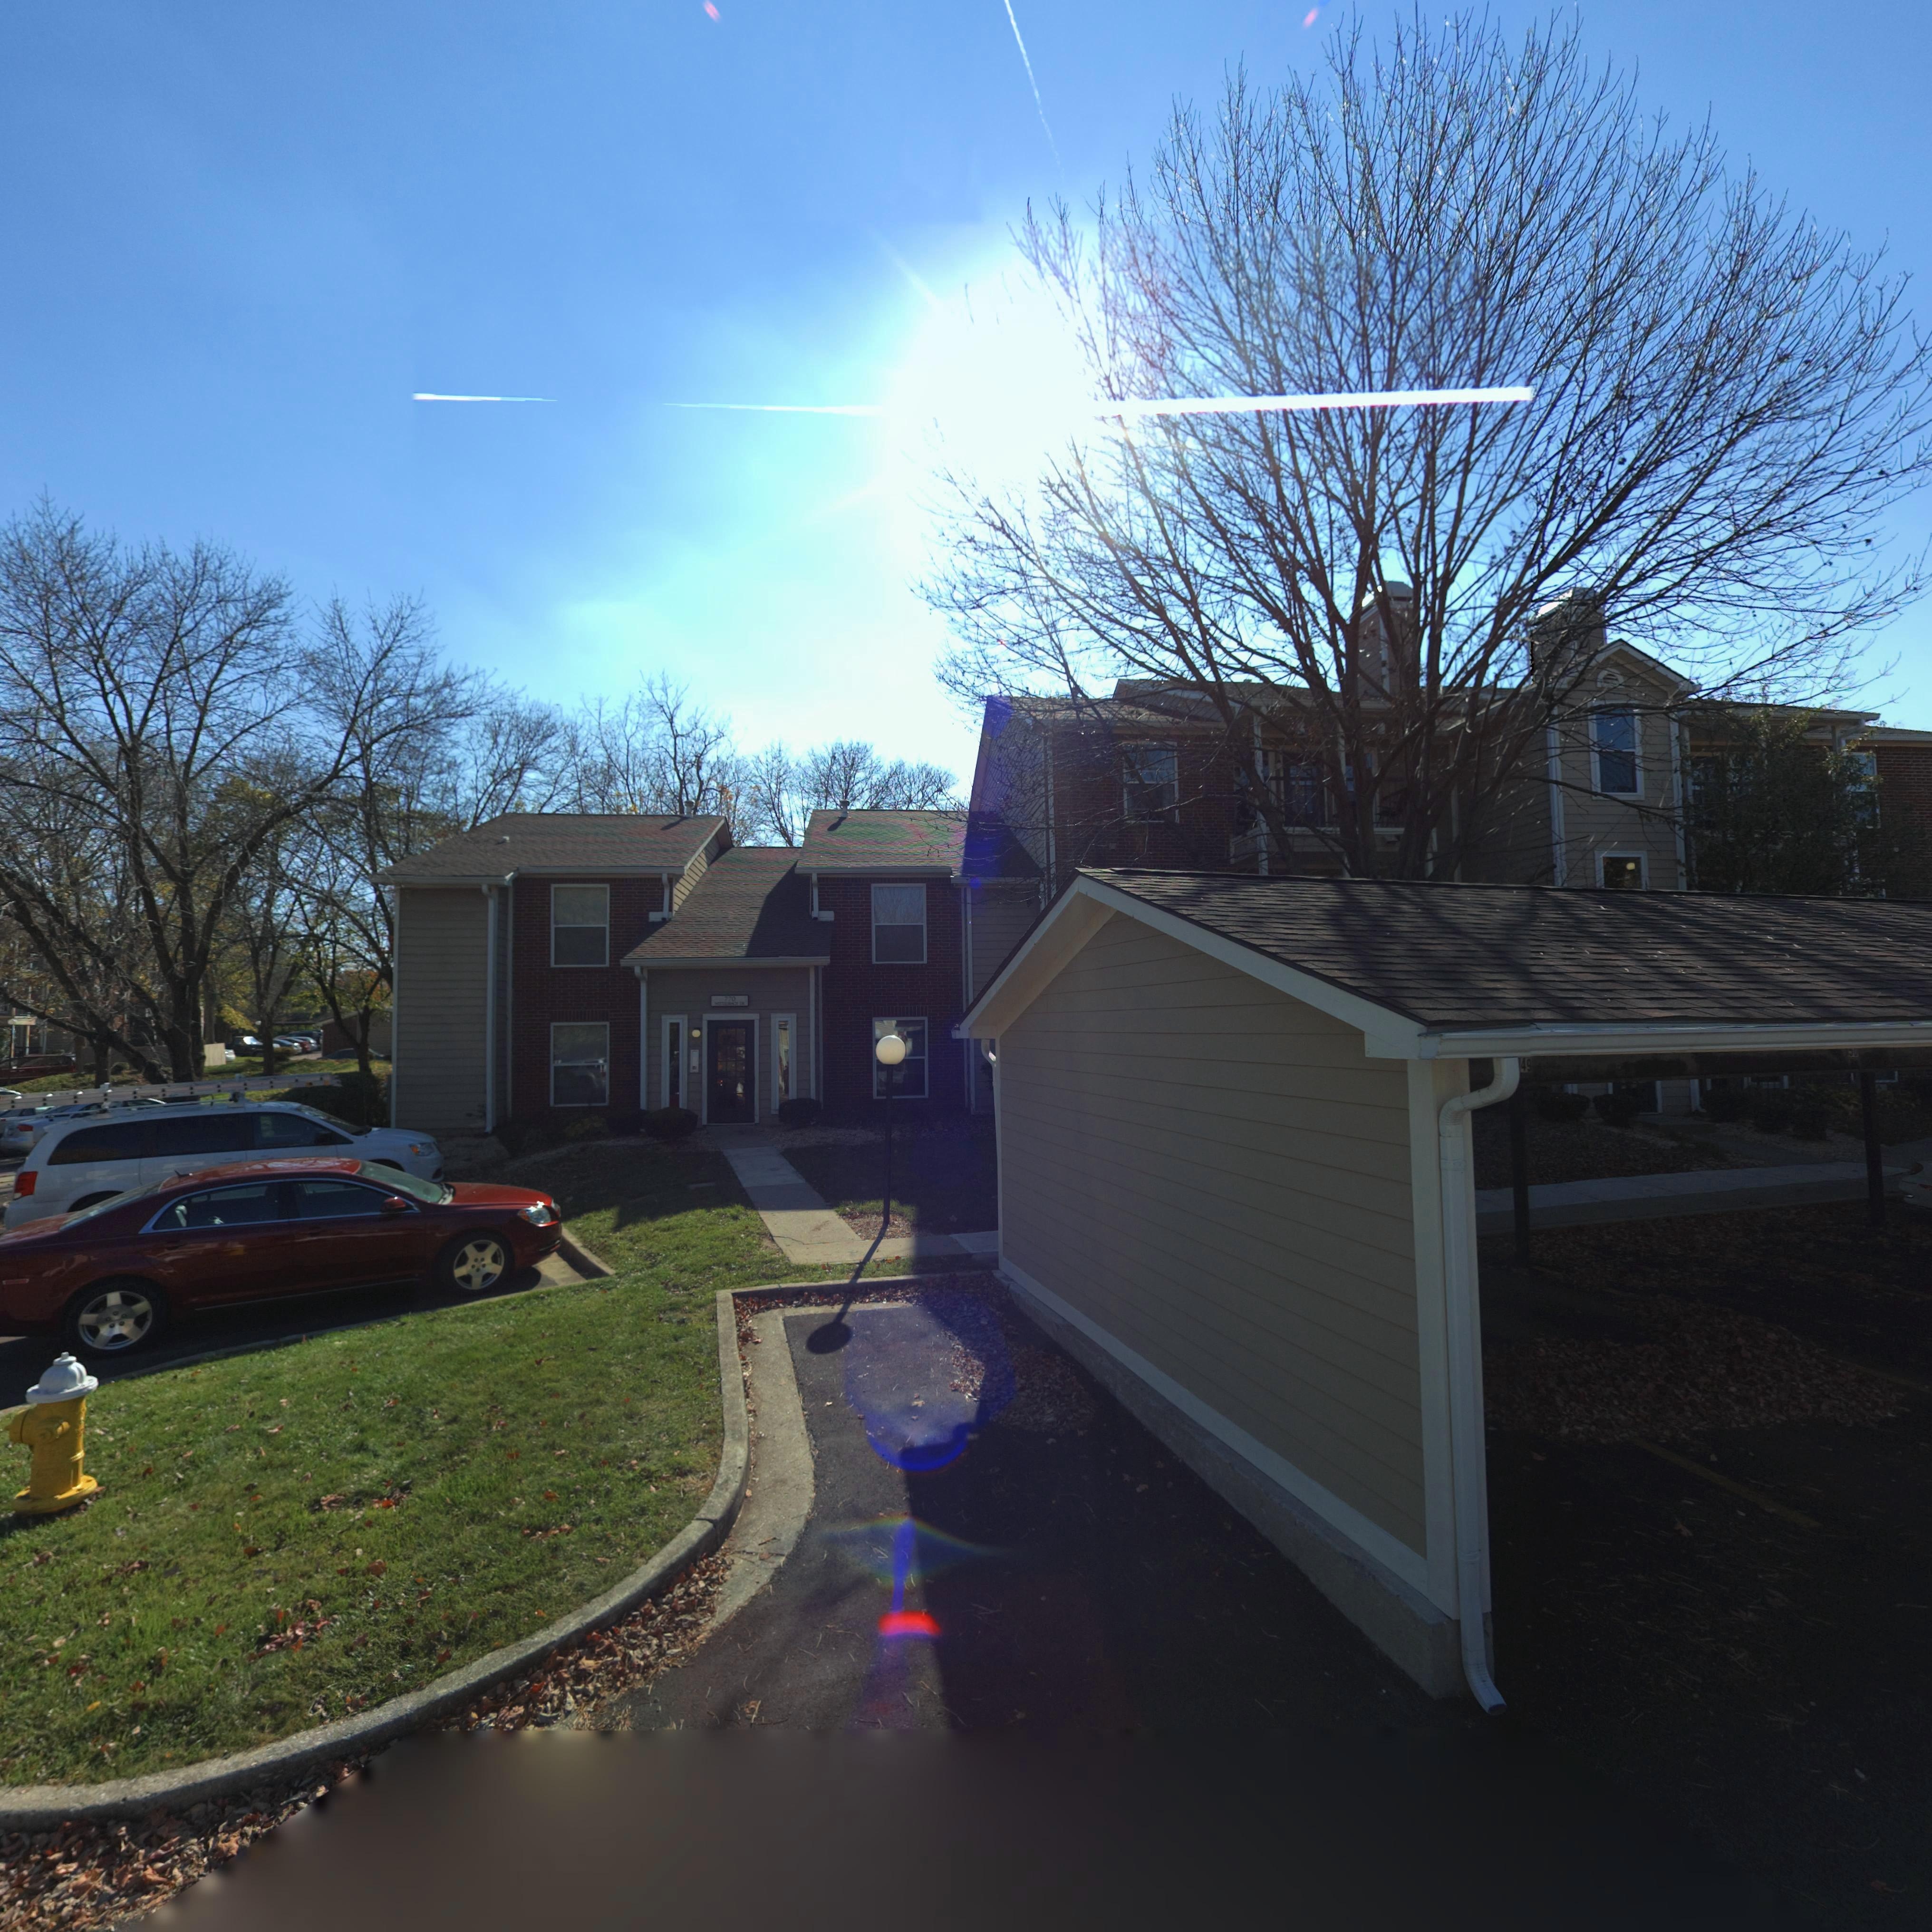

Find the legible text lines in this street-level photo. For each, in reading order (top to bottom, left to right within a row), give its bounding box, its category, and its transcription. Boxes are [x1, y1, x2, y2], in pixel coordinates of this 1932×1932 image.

[724, 995, 736, 1003] StreetNumber: 770